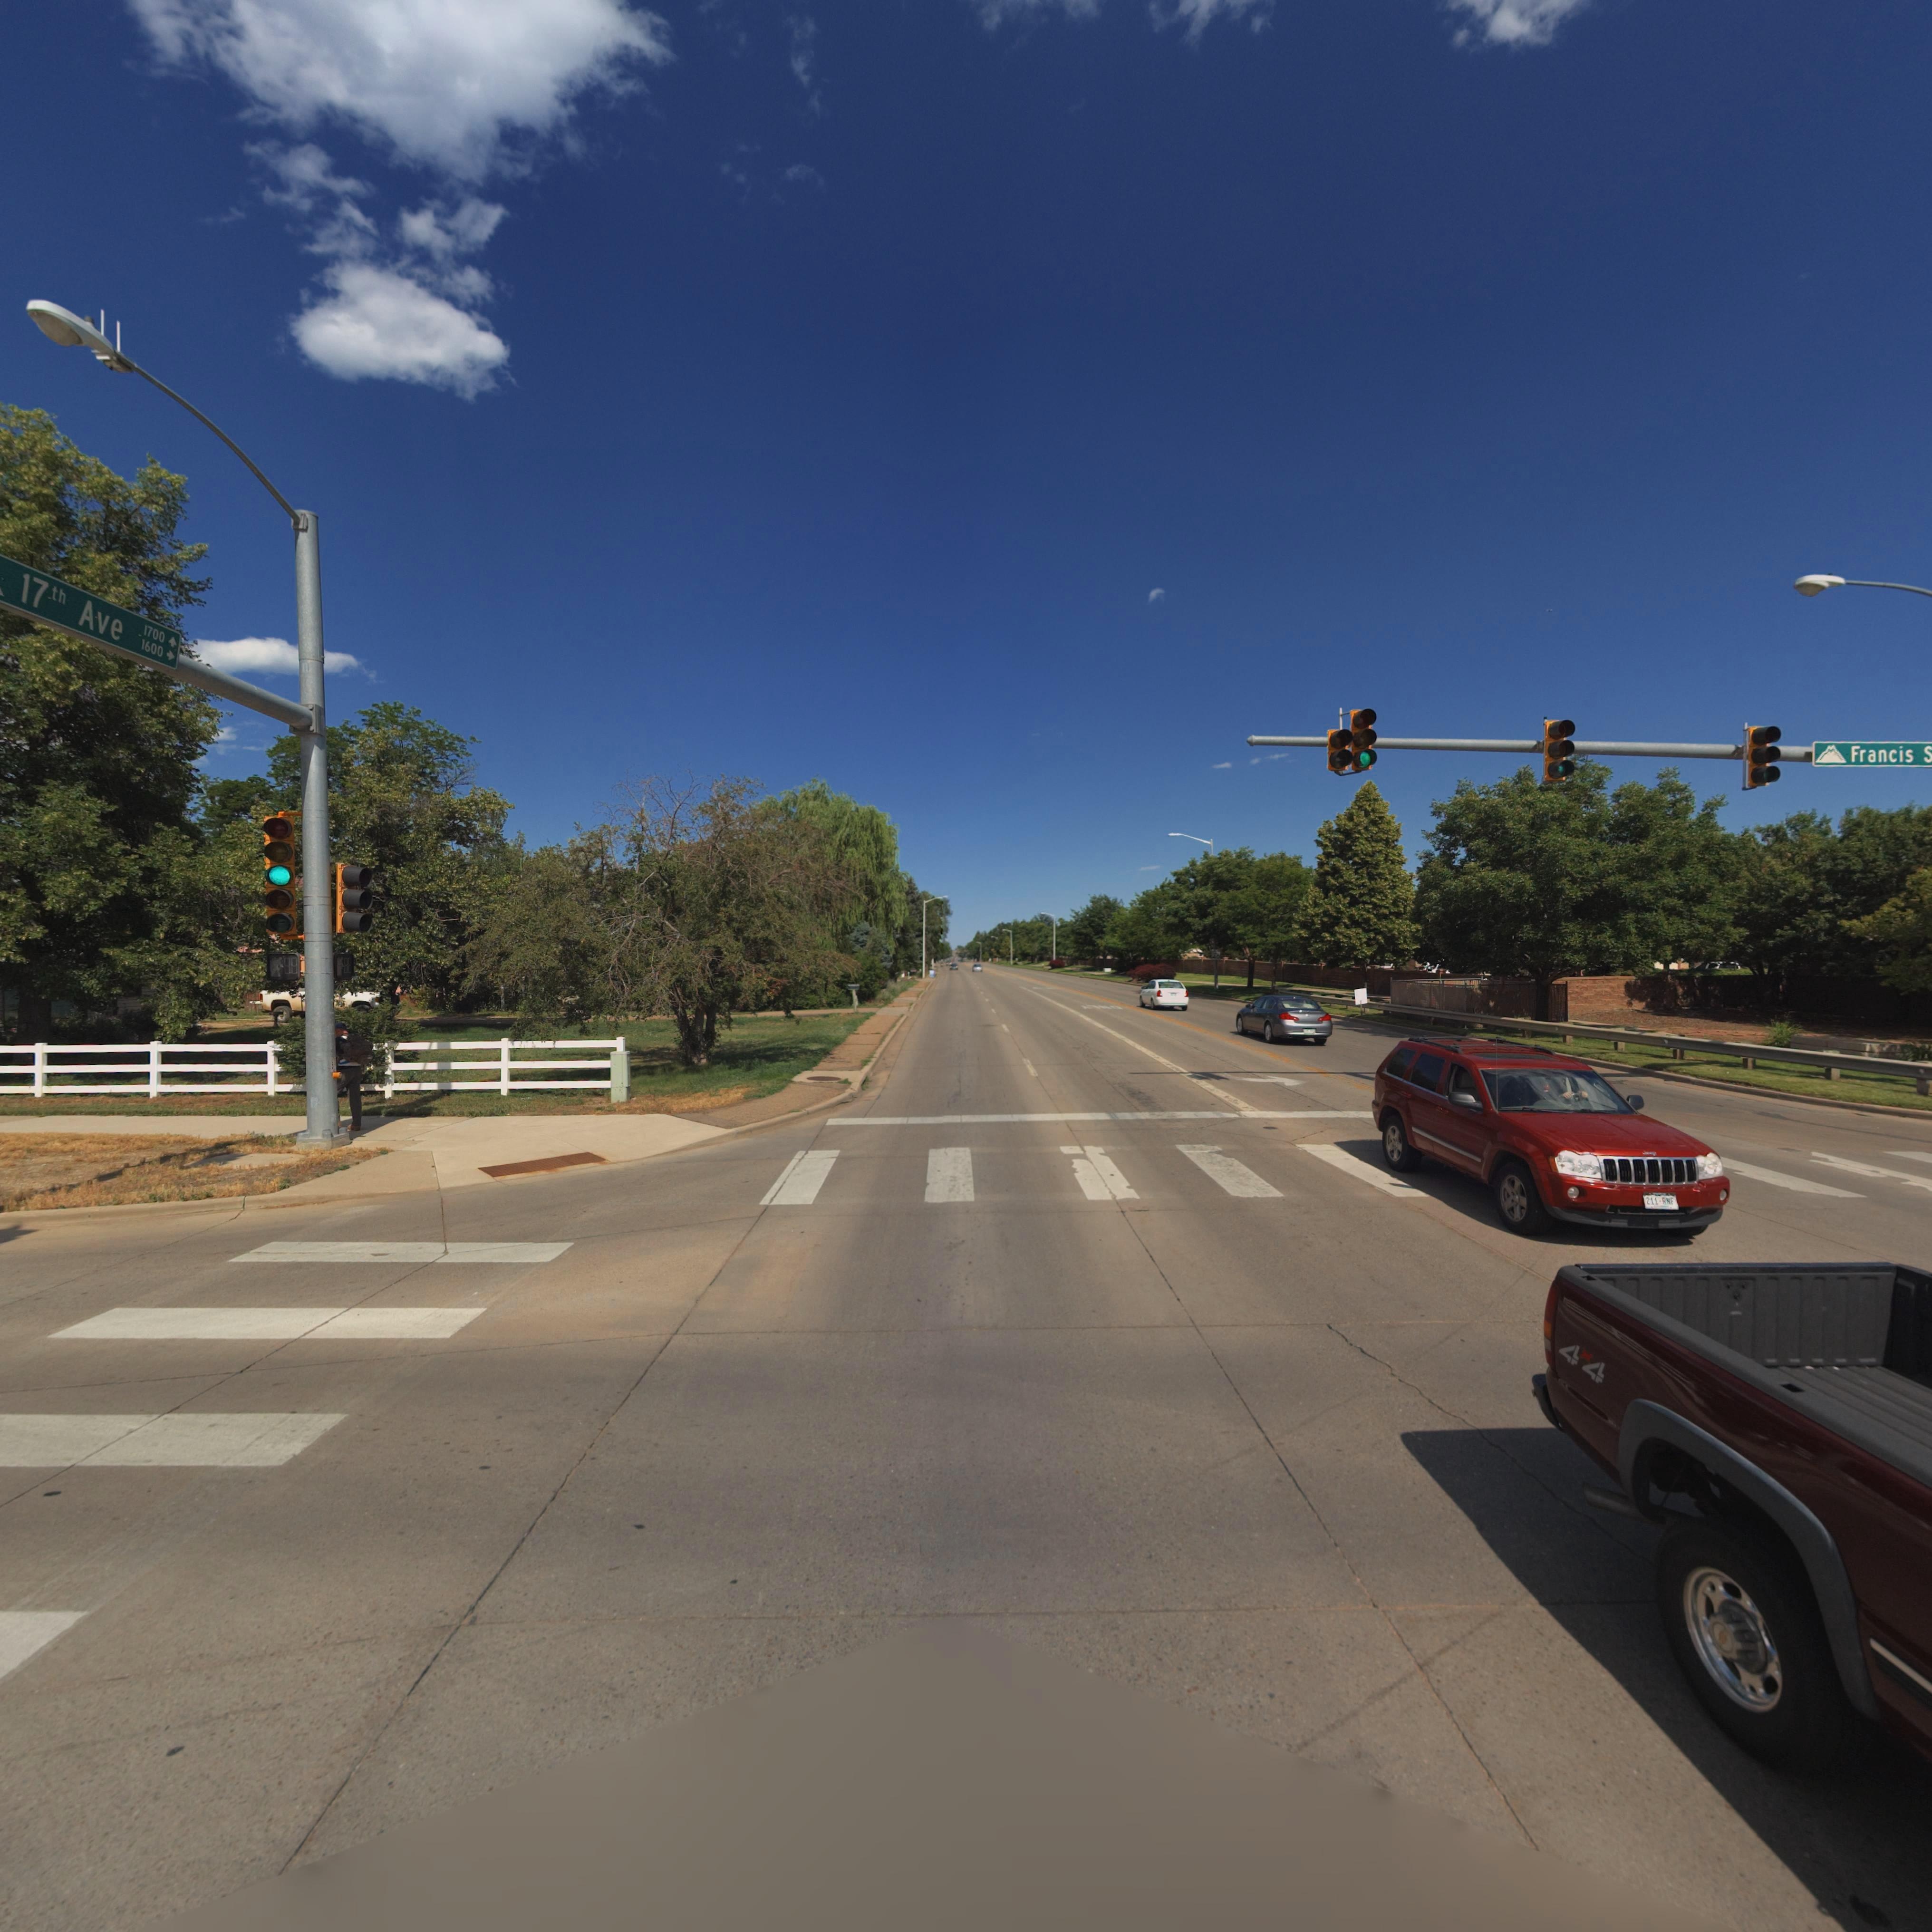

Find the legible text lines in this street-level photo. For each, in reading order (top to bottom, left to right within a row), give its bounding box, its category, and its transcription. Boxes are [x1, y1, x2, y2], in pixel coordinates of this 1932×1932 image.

[20, 572, 124, 641] StreetName: 17th Ave
[143, 623, 165, 643] StreetNumberRange: 1700
[141, 638, 175, 661] StreetNumberRange: 1600->
[1851, 745, 1914, 763] StreetName: Francis